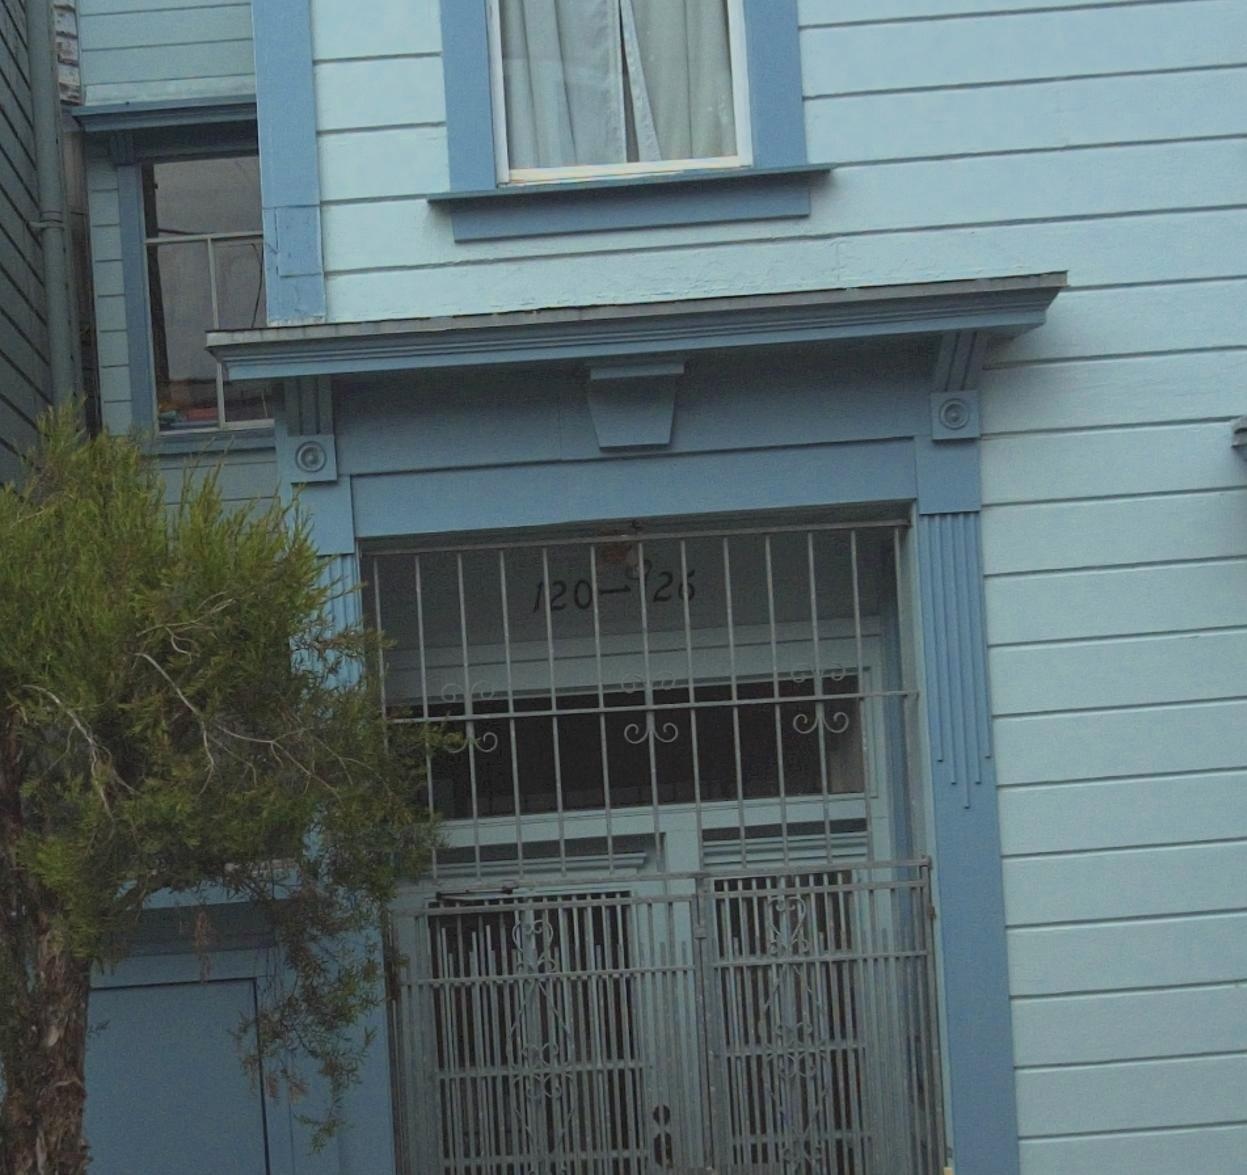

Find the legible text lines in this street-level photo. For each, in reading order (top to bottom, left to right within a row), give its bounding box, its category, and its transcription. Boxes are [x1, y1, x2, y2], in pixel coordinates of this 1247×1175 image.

[529, 577, 596, 614] StreetNumber: 120
[649, 566, 700, 606] StreetNumber: 26